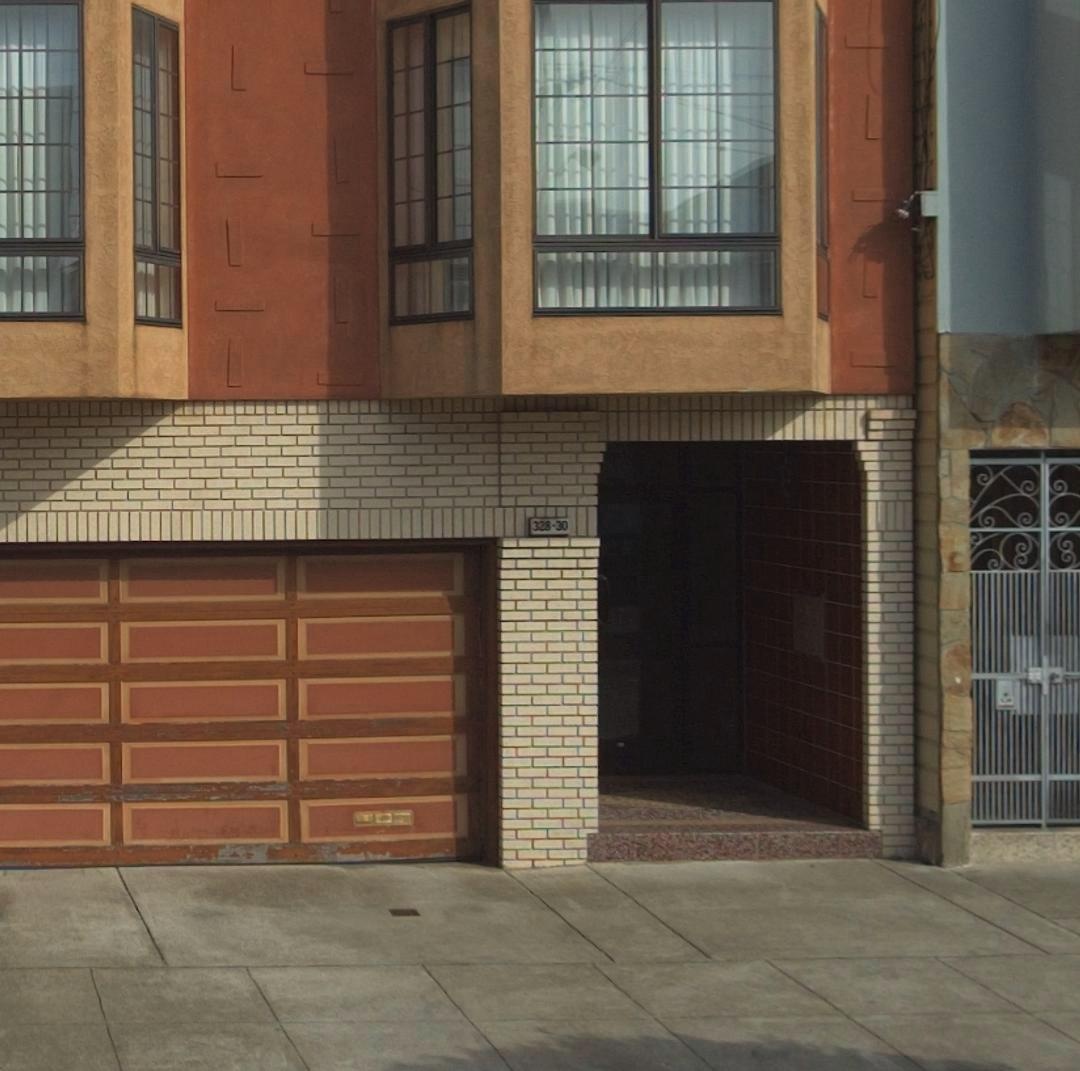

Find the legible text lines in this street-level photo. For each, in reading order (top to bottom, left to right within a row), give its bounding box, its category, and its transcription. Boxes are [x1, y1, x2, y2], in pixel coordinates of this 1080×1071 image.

[532, 520, 569, 532] StreetNumber: 328-30